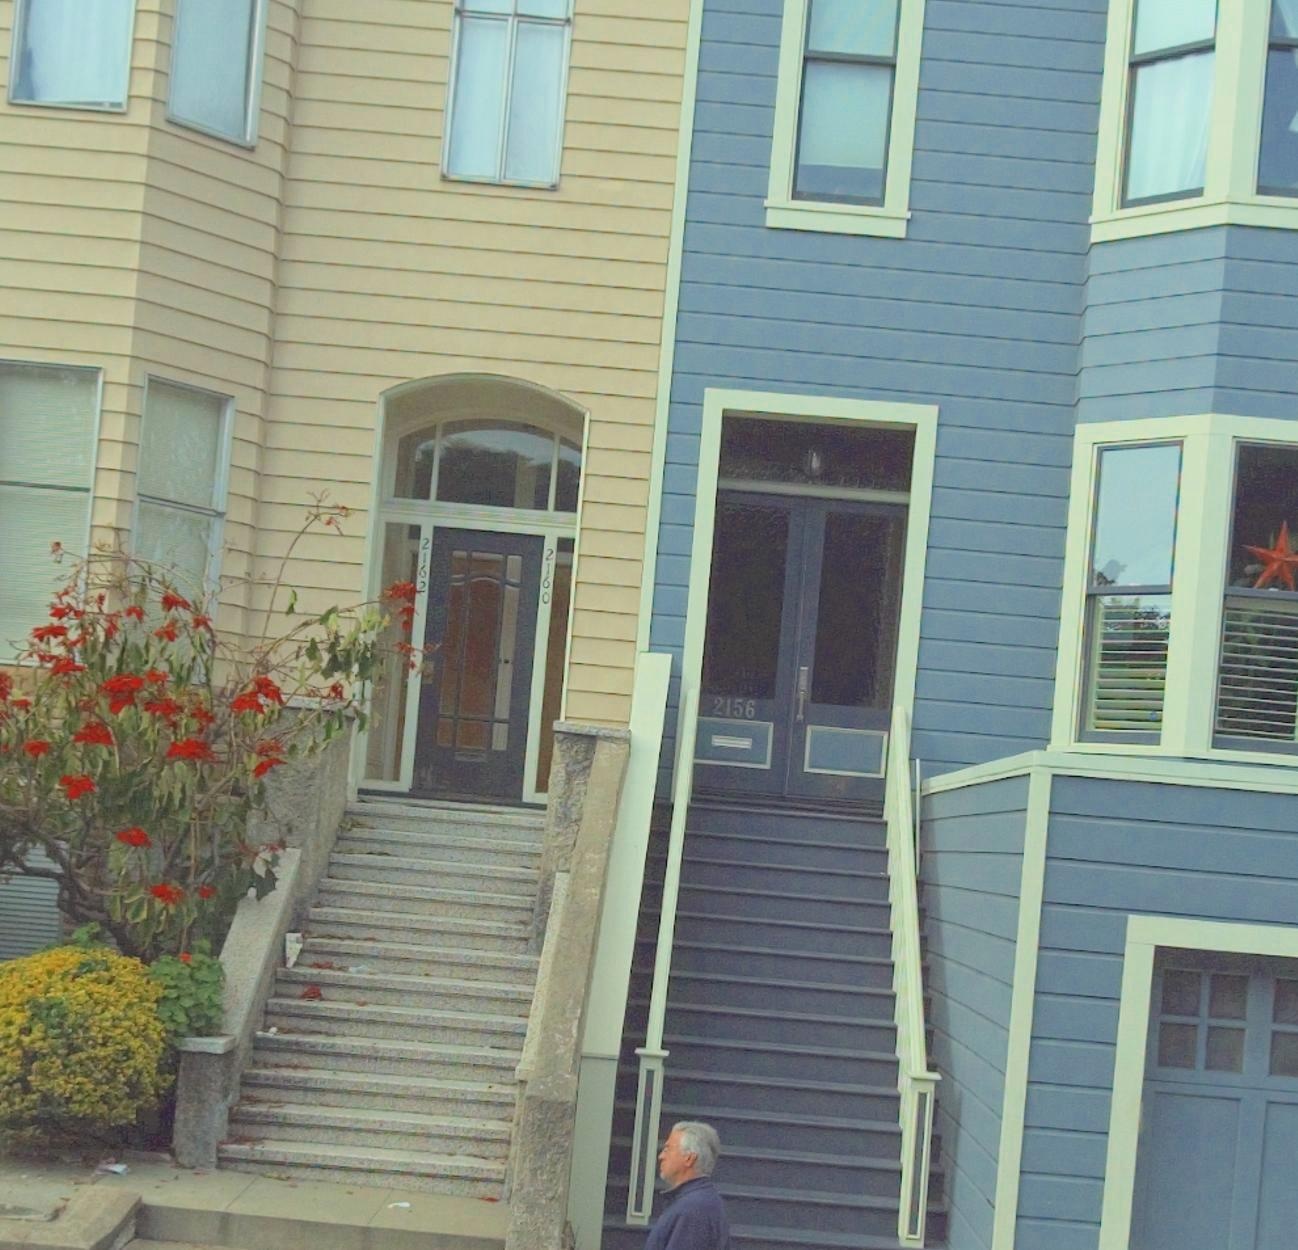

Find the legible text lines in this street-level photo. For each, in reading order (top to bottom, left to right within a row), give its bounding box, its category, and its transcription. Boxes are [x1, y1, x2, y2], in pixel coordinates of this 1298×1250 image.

[415, 533, 433, 596] StreetNumber: 2162
[538, 545, 557, 608] StreetNumber: 2160
[709, 693, 759, 722] StreetNumber: 2156